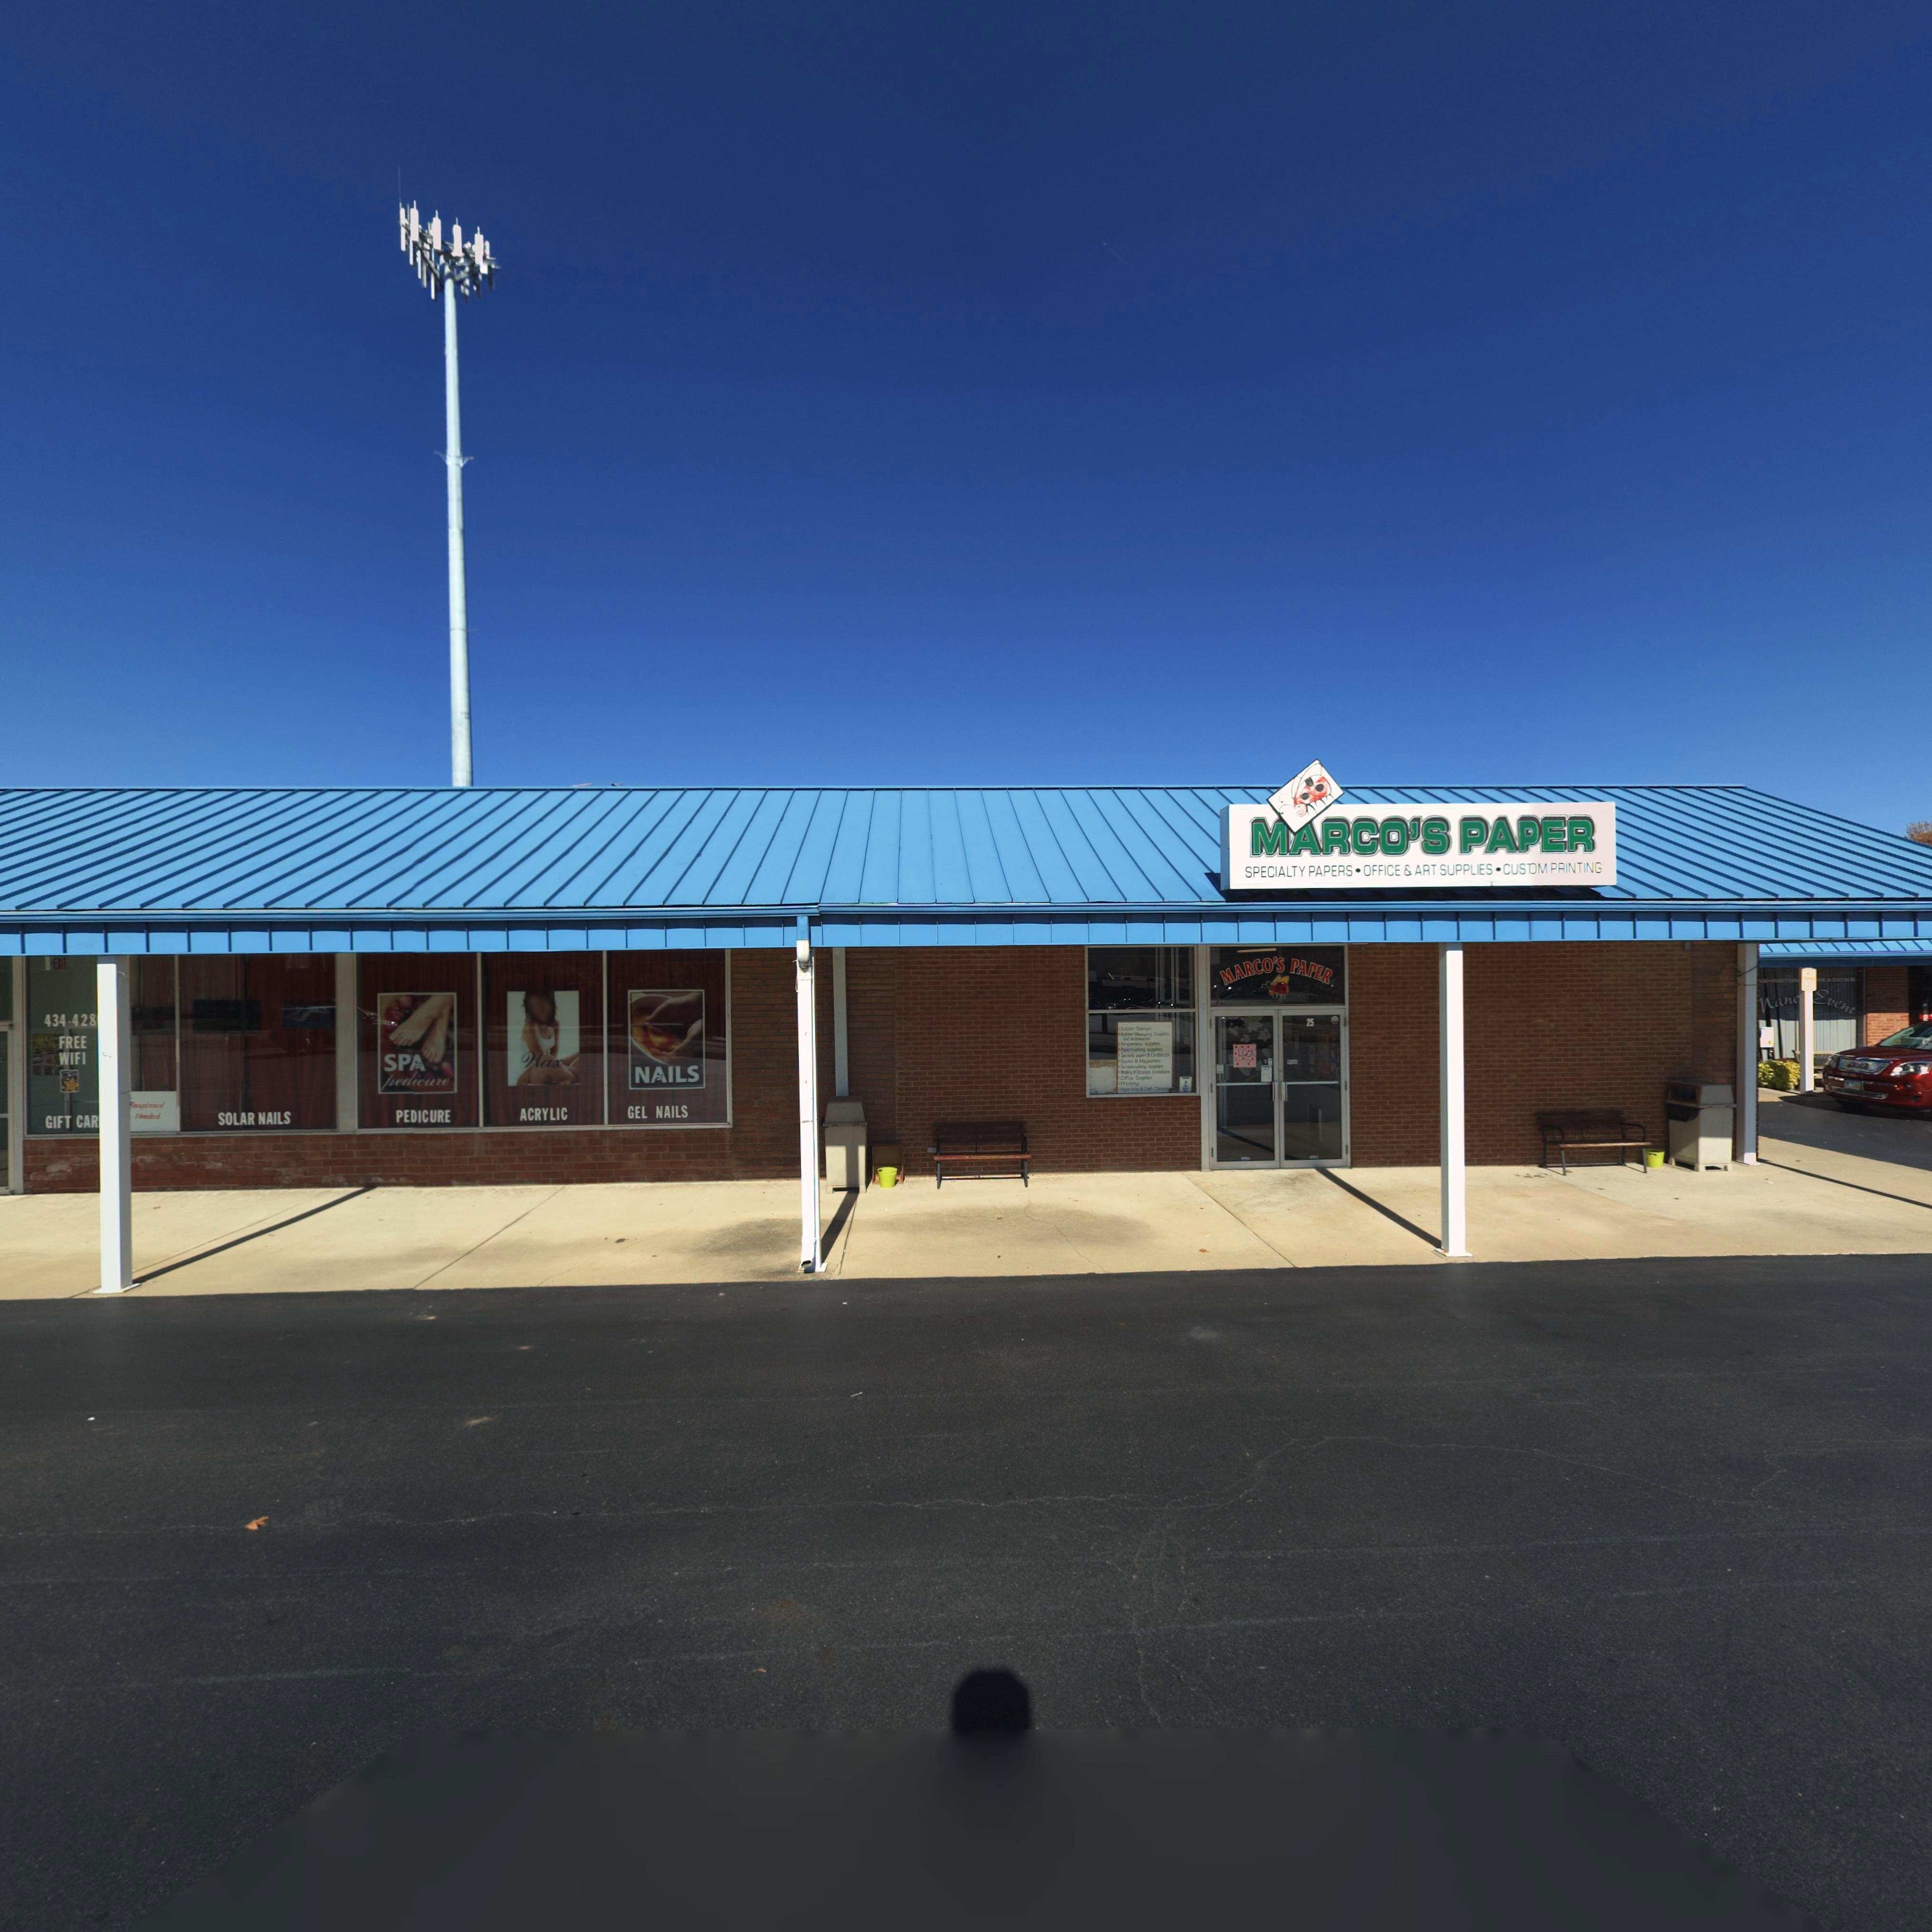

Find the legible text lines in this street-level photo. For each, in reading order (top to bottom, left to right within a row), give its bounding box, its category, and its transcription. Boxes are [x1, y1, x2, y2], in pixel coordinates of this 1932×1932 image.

[1248, 813, 1599, 859] BusinessName: MARCO'S PAPER
[1245, 861, 1603, 879] None: SPECIALTY PAPERS * OFFICE & ART SUPPLIES * CUS*OM PRINTING
[1218, 956, 1334, 986] BusinessName: MARCO'S PAPER
[1774, 988, 1858, 1016] BusinessName: ane Event
[43, 1013, 97, 1028] None: 434-428
[1306, 1017, 1314, 1027] StreetNumber: 25
[58, 1034, 88, 1050] None: FREE
[58, 1051, 87, 1066] None: WIFI
[383, 1053, 428, 1072] None: SPA
[520, 1050, 565, 1070] None: Wax
[634, 1064, 701, 1084] None: NAILS
[378, 1074, 451, 1092] None: pedicure
[45, 1114, 99, 1130] None: GIFT CAR
[134, 1111, 162, 1121] None: Needed
[129, 1100, 167, 1111] None: *eceptionist
[217, 1110, 292, 1126] None: SOLAR NAILS
[395, 1109, 452, 1124] None: PEDICURE
[519, 1106, 568, 1121] None: ACRYLIC
[627, 1104, 689, 1120] None: GEL NAILS